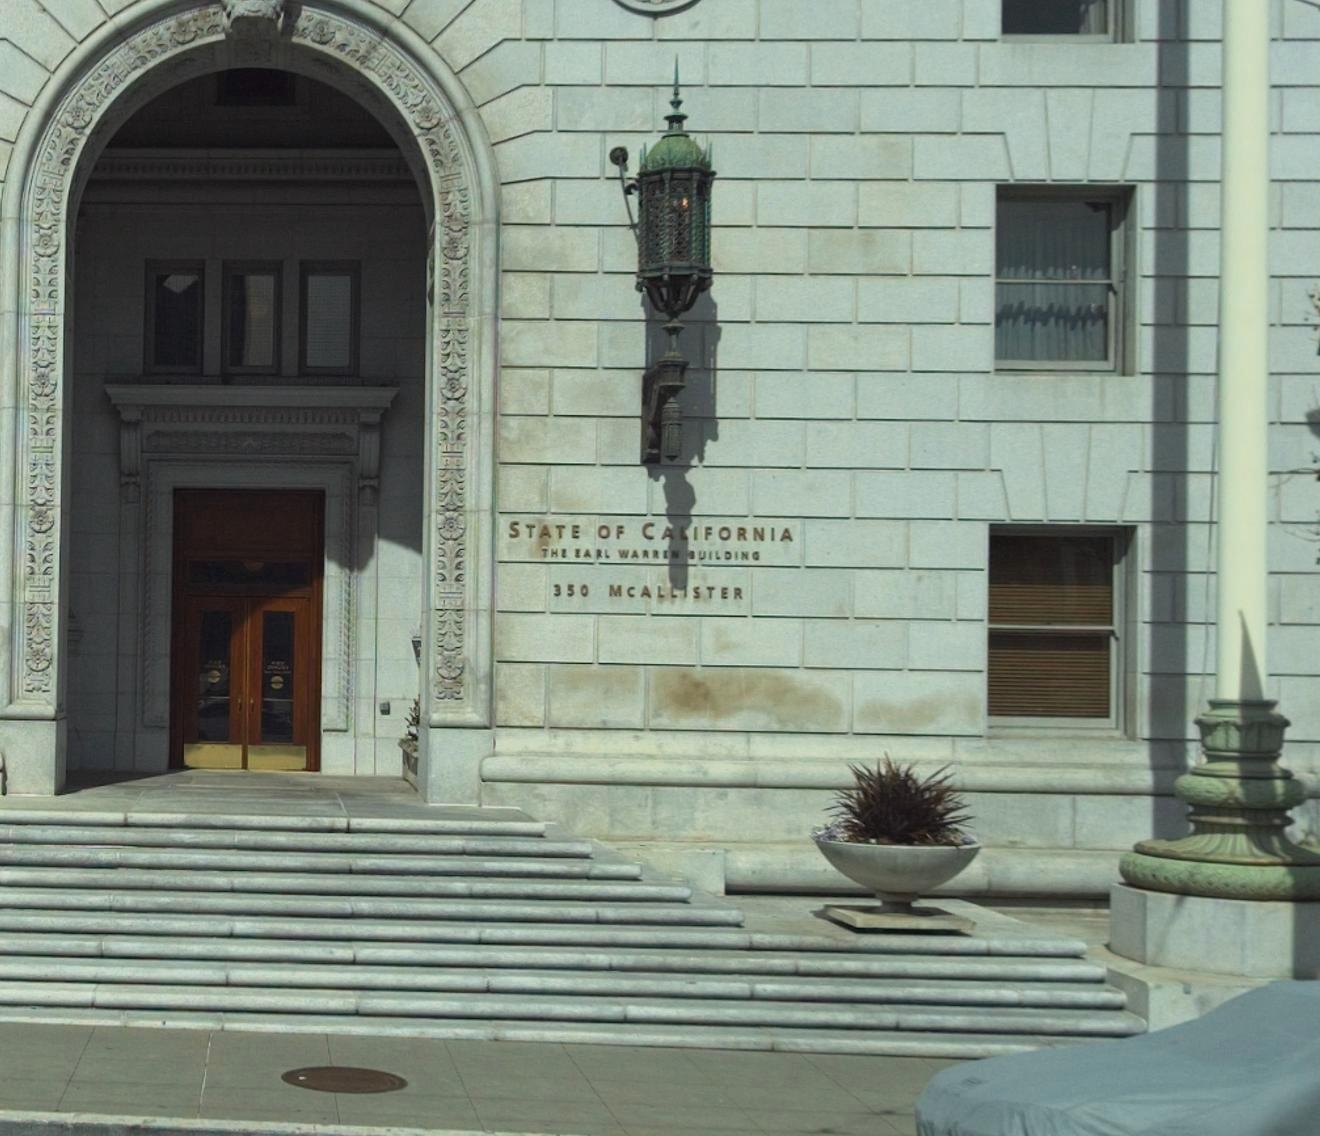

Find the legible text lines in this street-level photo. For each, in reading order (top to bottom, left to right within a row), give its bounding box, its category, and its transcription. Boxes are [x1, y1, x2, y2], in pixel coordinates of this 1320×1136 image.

[506, 520, 797, 543] BusinessName: STATE OF CALIFORNIA
[539, 544, 763, 565] BusinessName: THE EARL WARREN BUILDING
[548, 581, 592, 602] StreetNumber: 350
[605, 582, 745, 602] StreetName: MCALLISTER